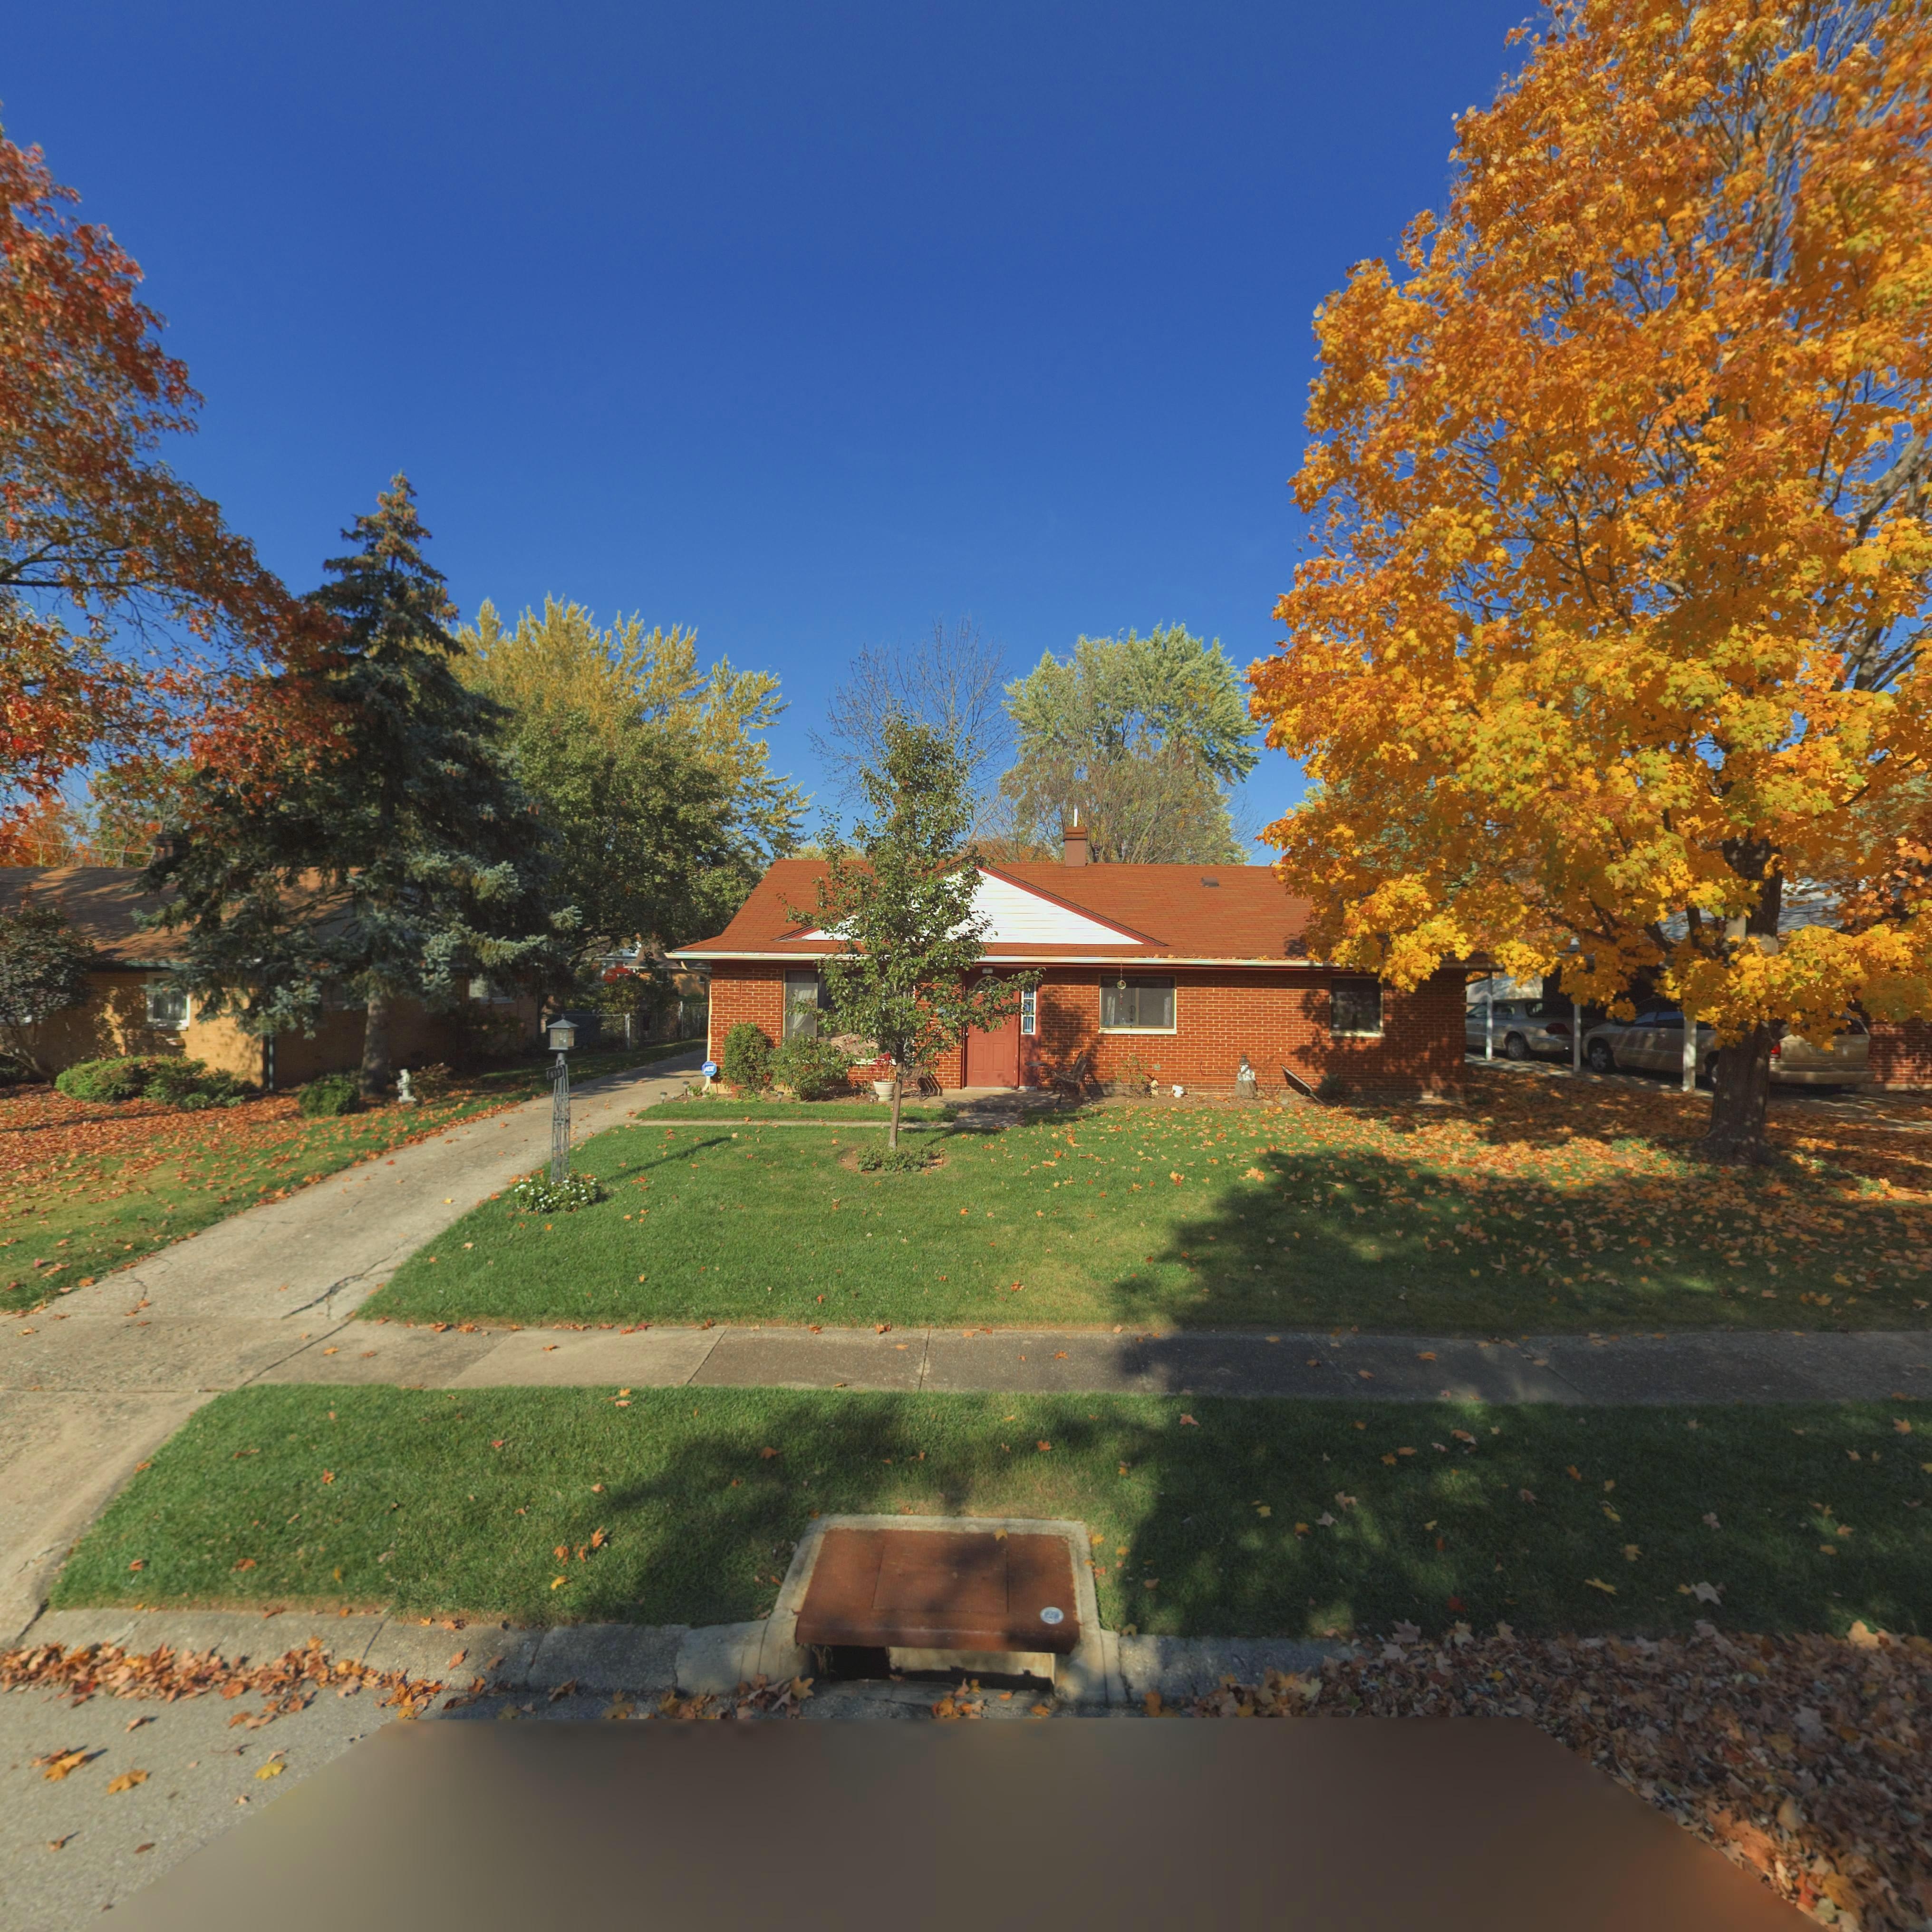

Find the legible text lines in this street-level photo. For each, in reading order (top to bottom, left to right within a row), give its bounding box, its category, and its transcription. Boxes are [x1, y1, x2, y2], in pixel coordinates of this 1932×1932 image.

[550, 1068, 561, 1079] StreetNumber: 619
[703, 1065, 715, 1072] None: ADT